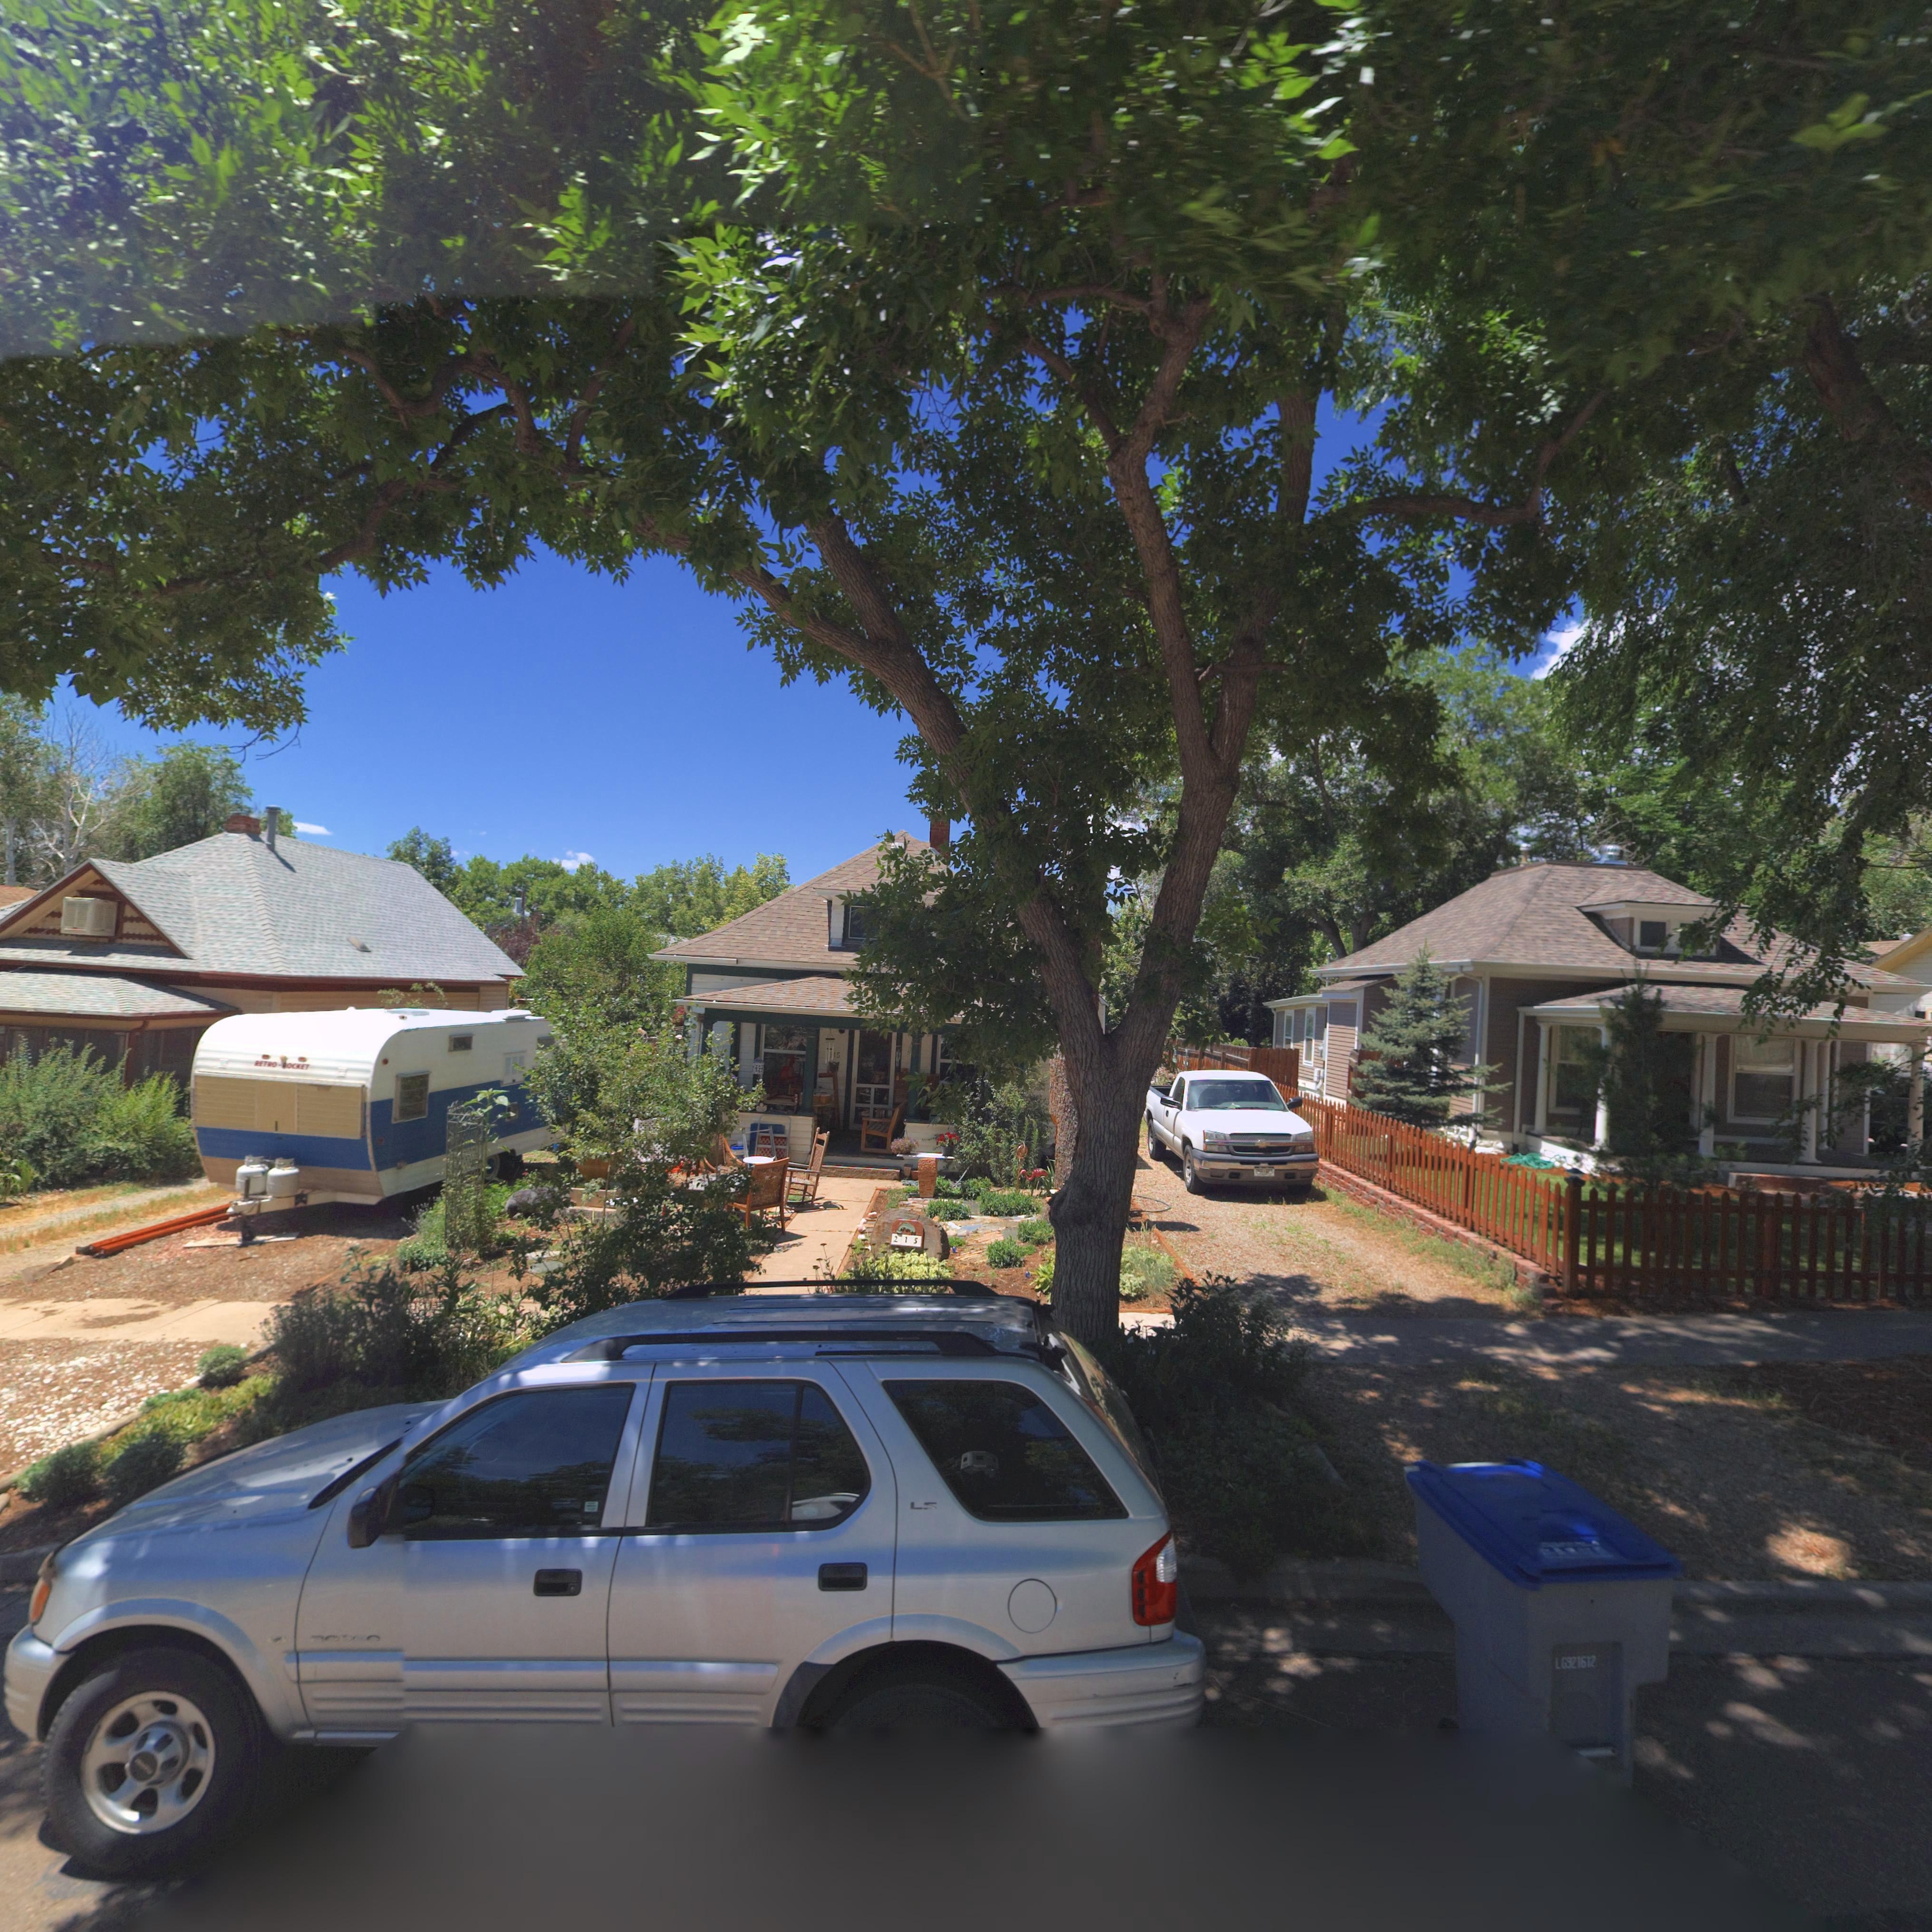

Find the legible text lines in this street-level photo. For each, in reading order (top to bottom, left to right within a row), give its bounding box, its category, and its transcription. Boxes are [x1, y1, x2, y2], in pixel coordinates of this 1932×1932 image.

[829, 1051, 840, 1058] StreetNumber: *15
[893, 1236, 919, 1245] StreetNumber: 215